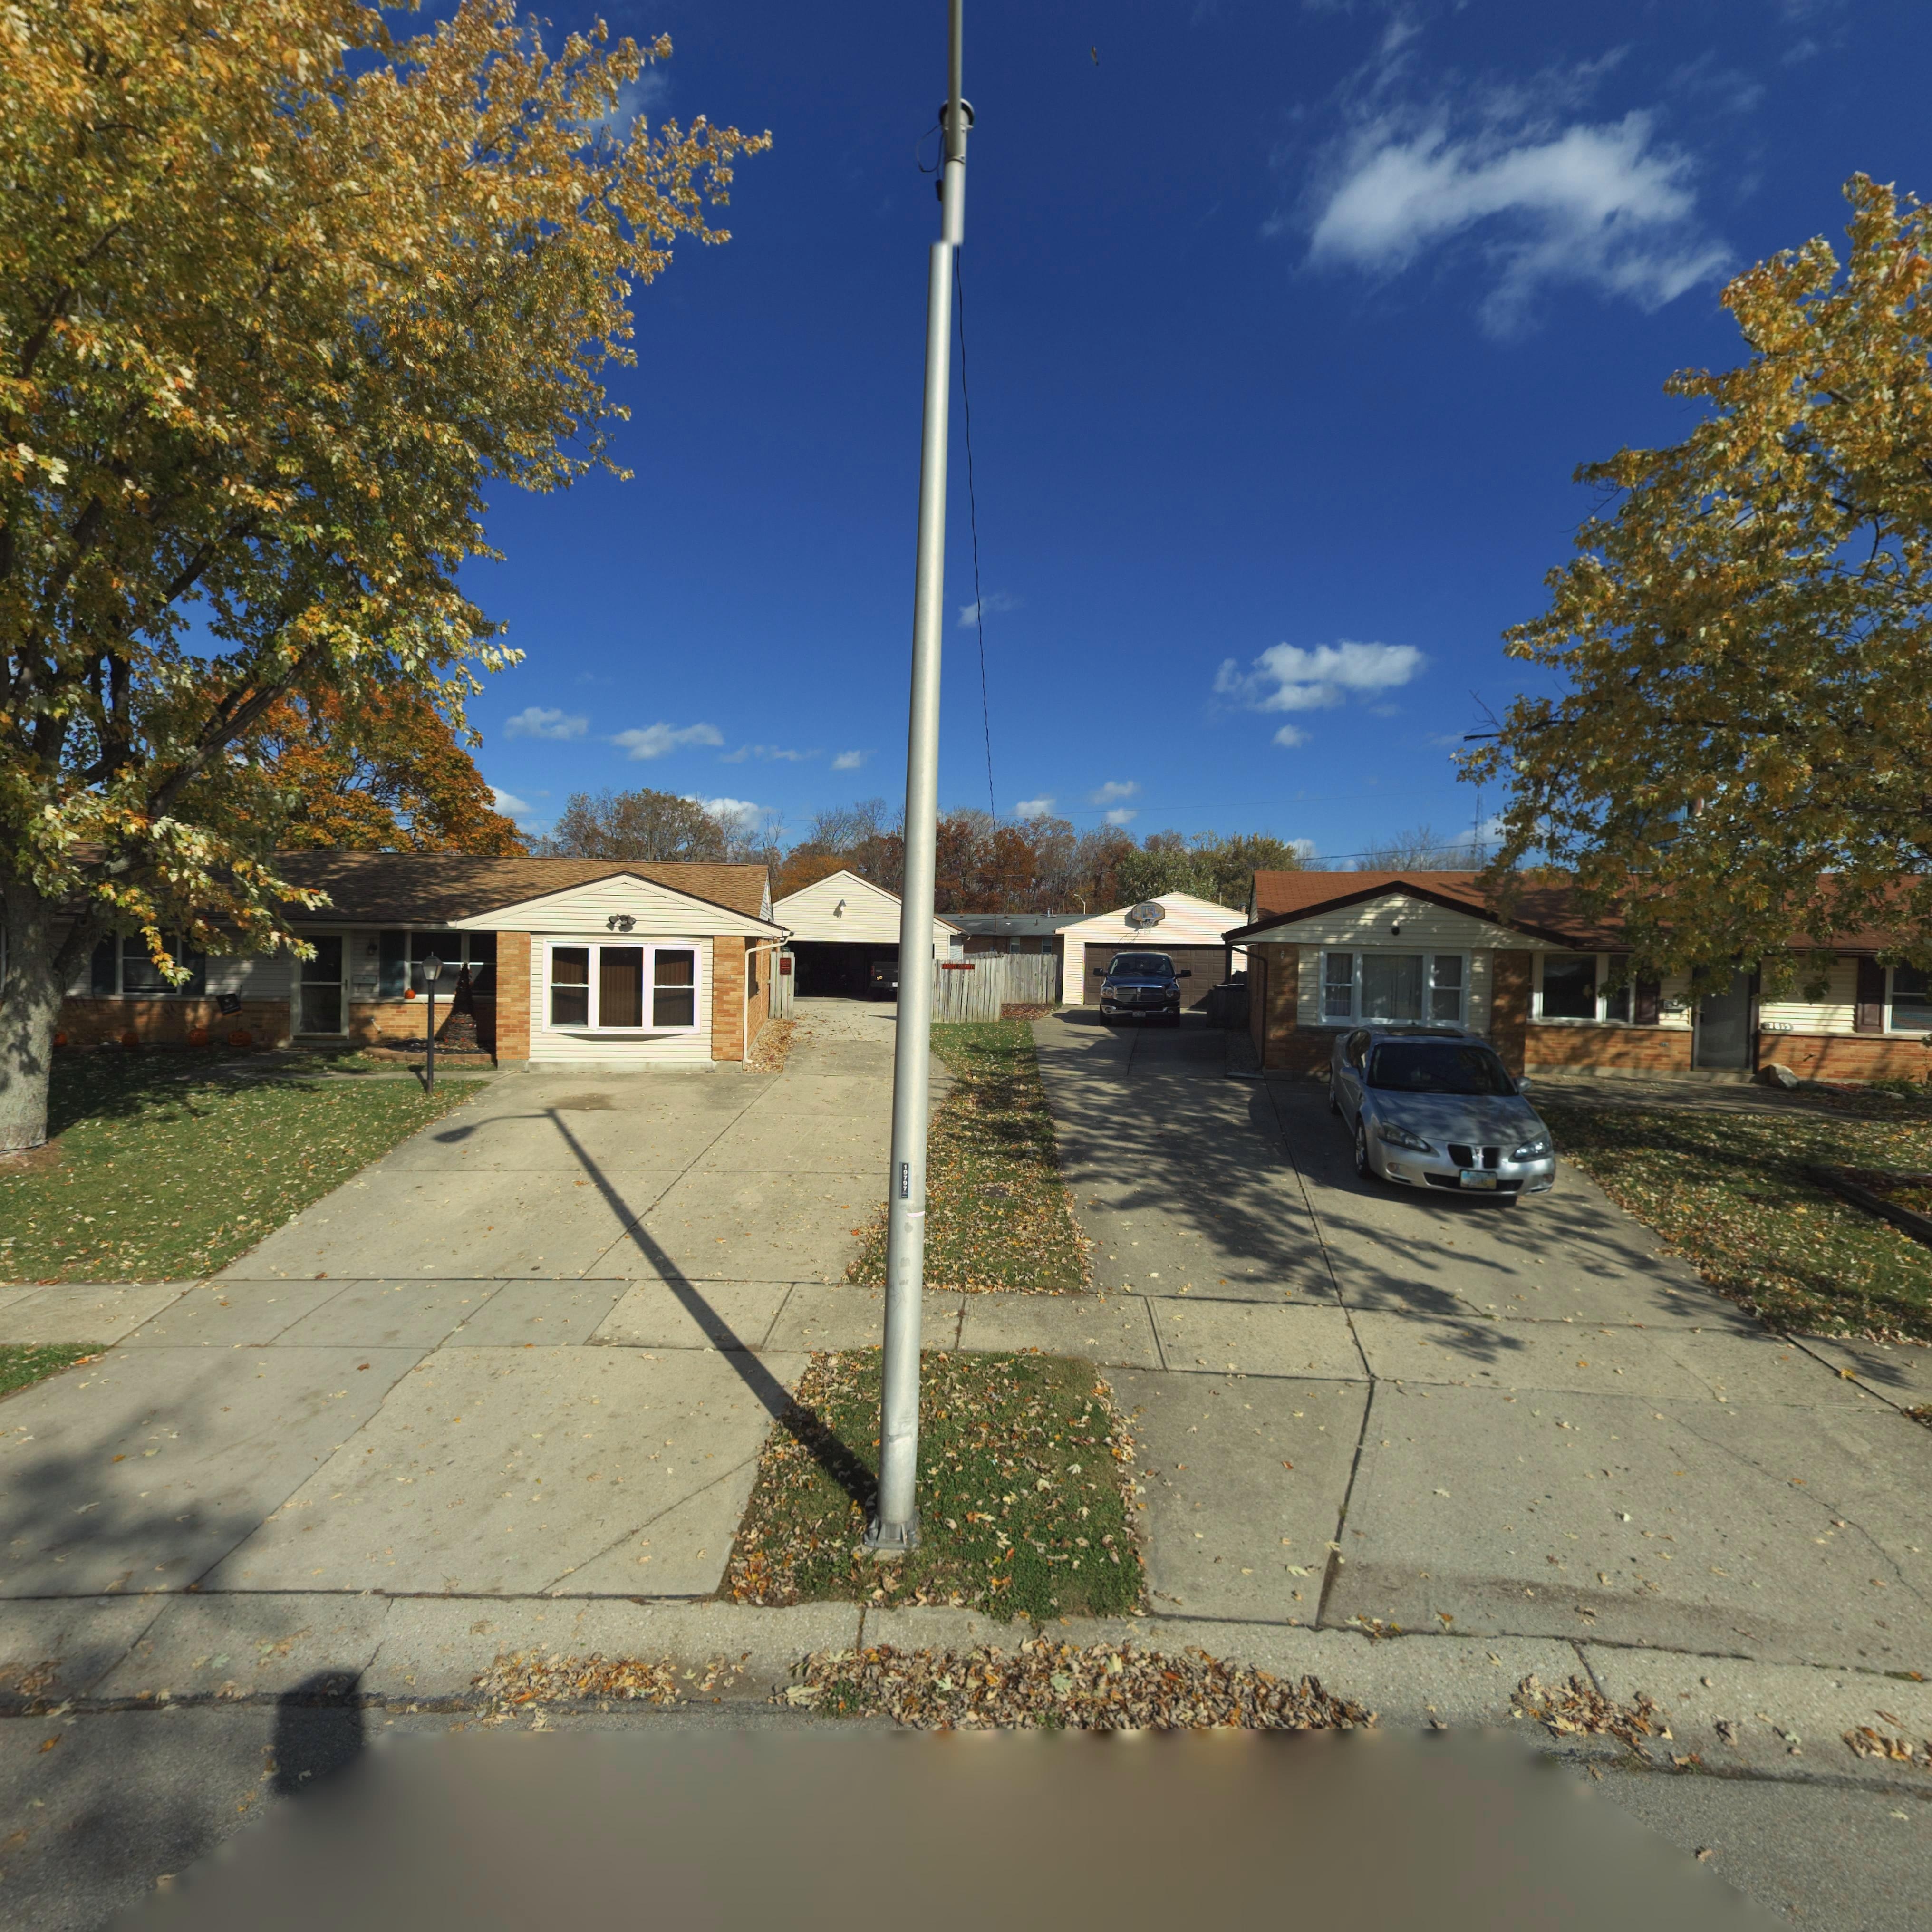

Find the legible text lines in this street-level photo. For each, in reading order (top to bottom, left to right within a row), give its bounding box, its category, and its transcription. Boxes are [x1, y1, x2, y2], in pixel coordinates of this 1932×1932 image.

[265, 956, 279, 961] StreetNumber: 7**9
[1768, 1022, 1791, 1030] StreetNumber: 7813